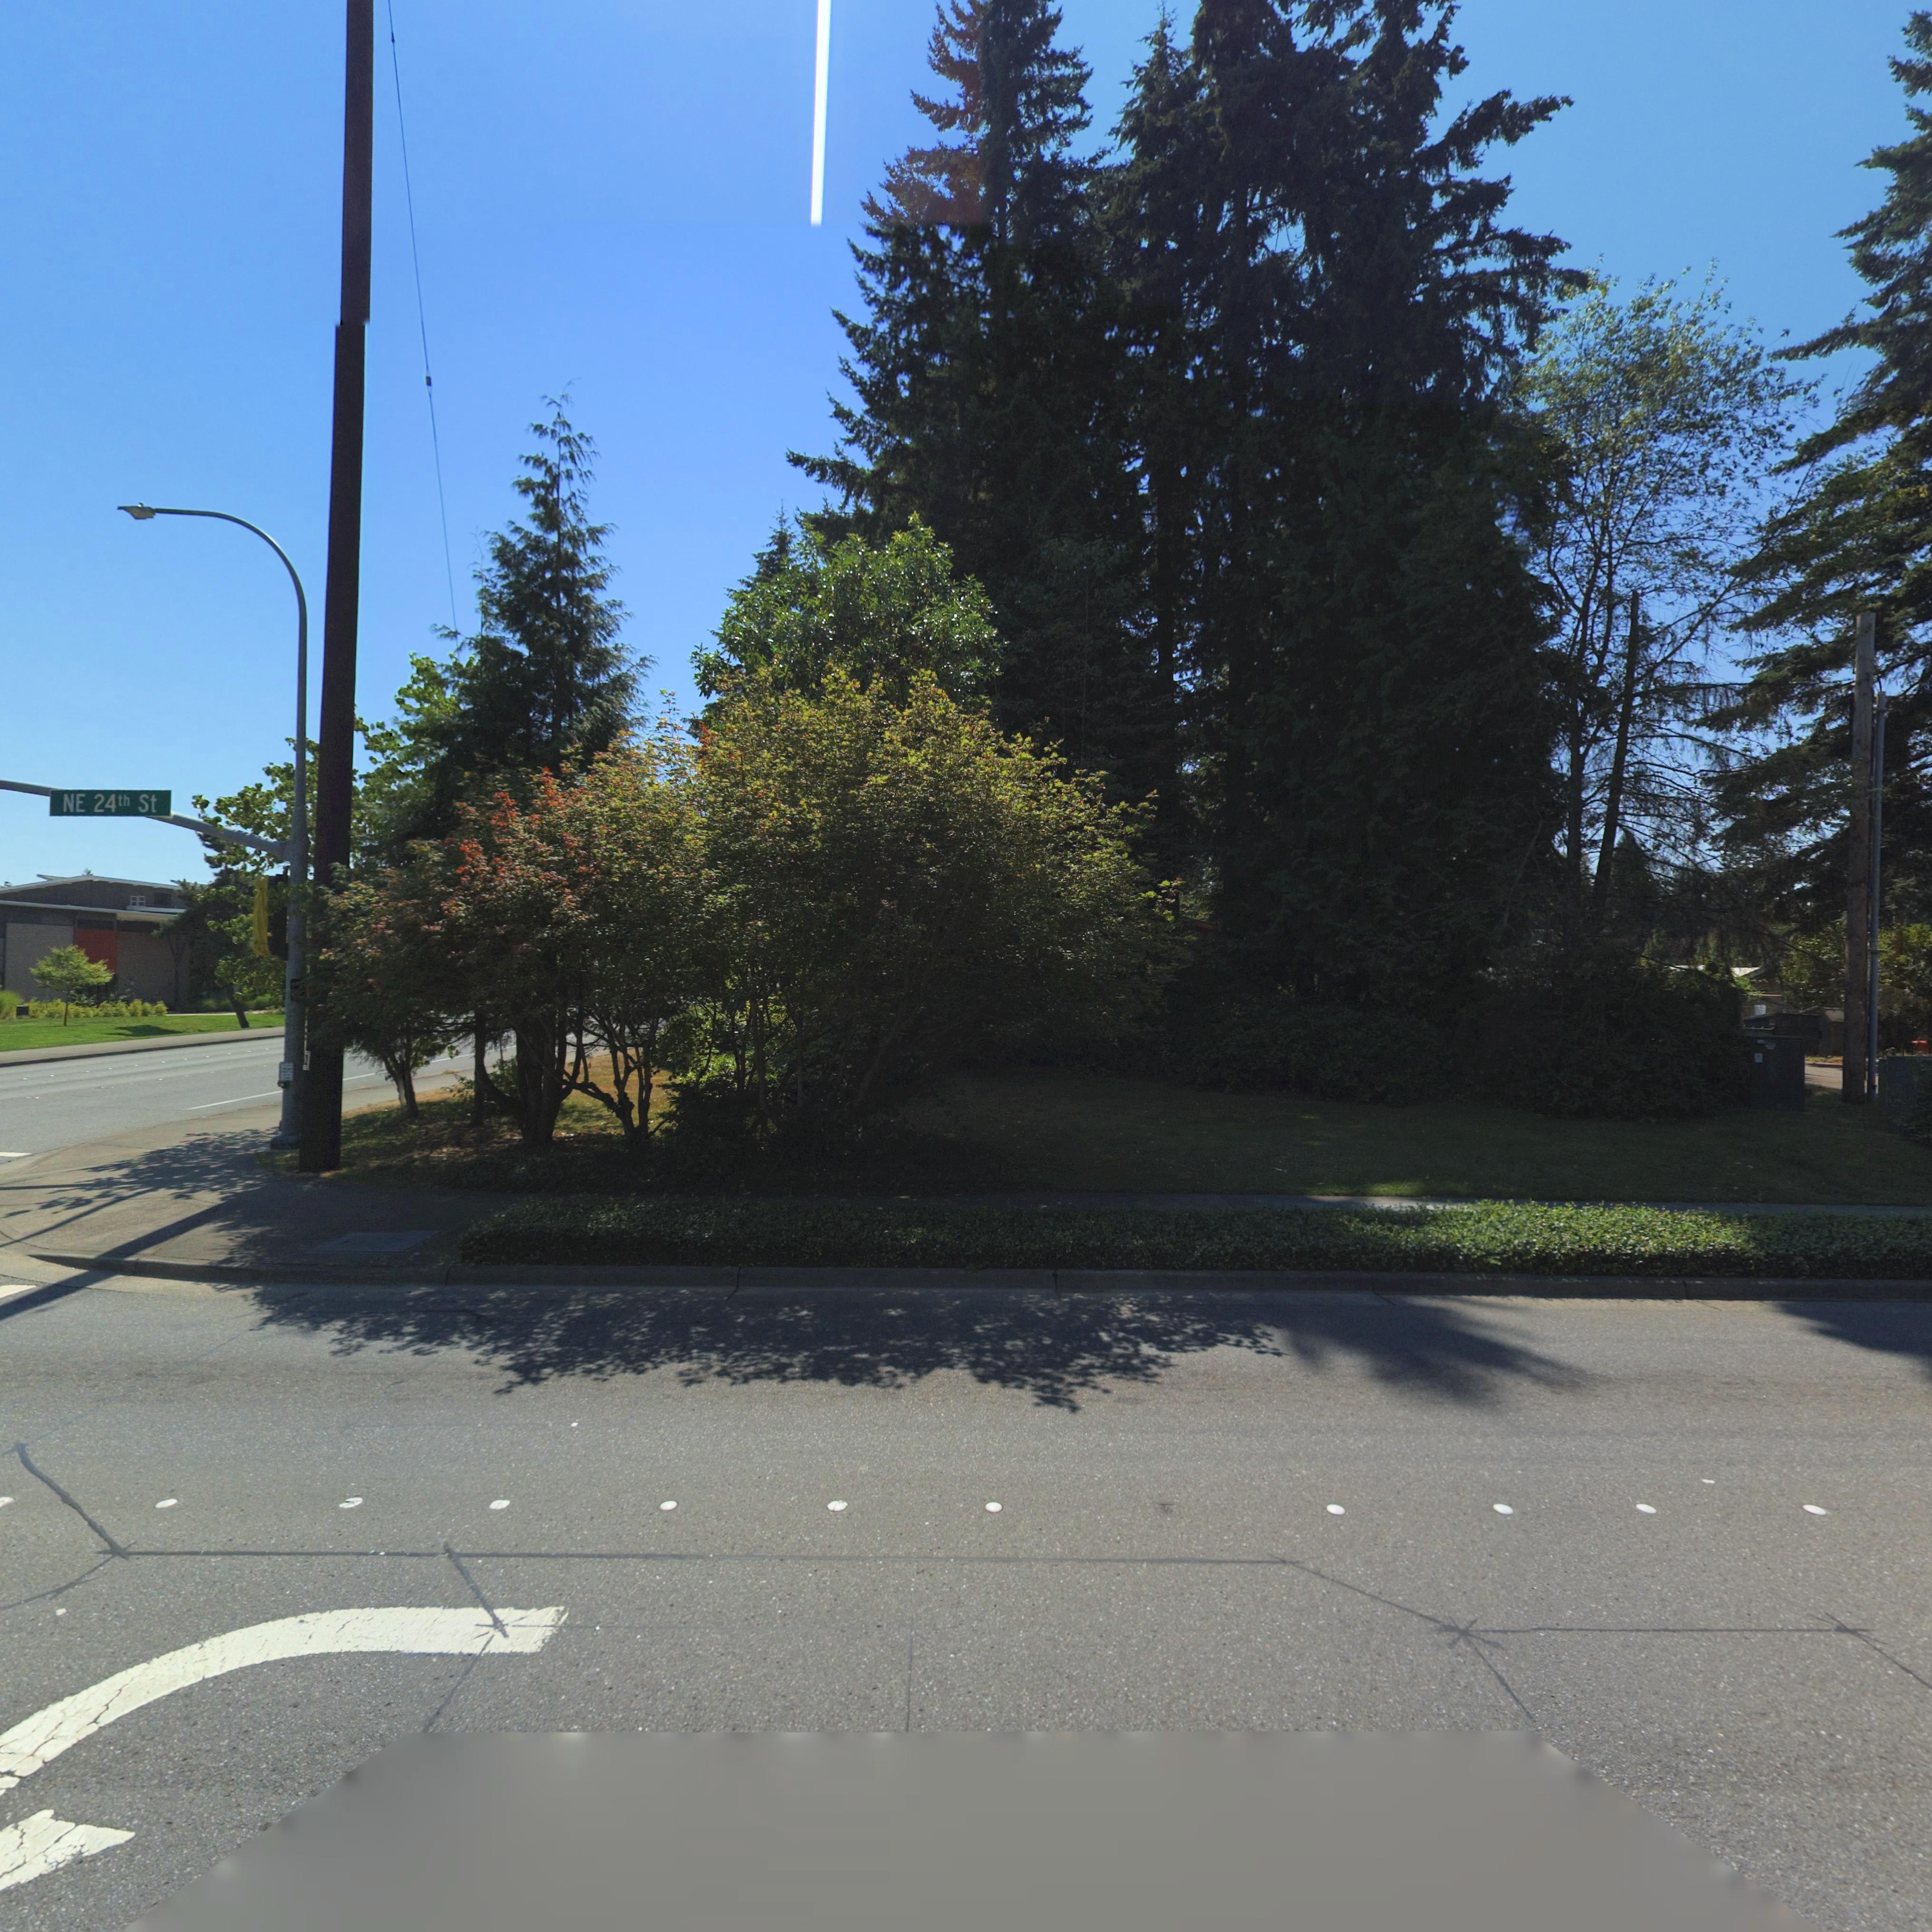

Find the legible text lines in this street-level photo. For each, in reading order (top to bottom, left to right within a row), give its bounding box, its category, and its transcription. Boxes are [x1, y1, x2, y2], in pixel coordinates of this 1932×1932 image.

[62, 792, 157, 814] StreetName: NE 24th St